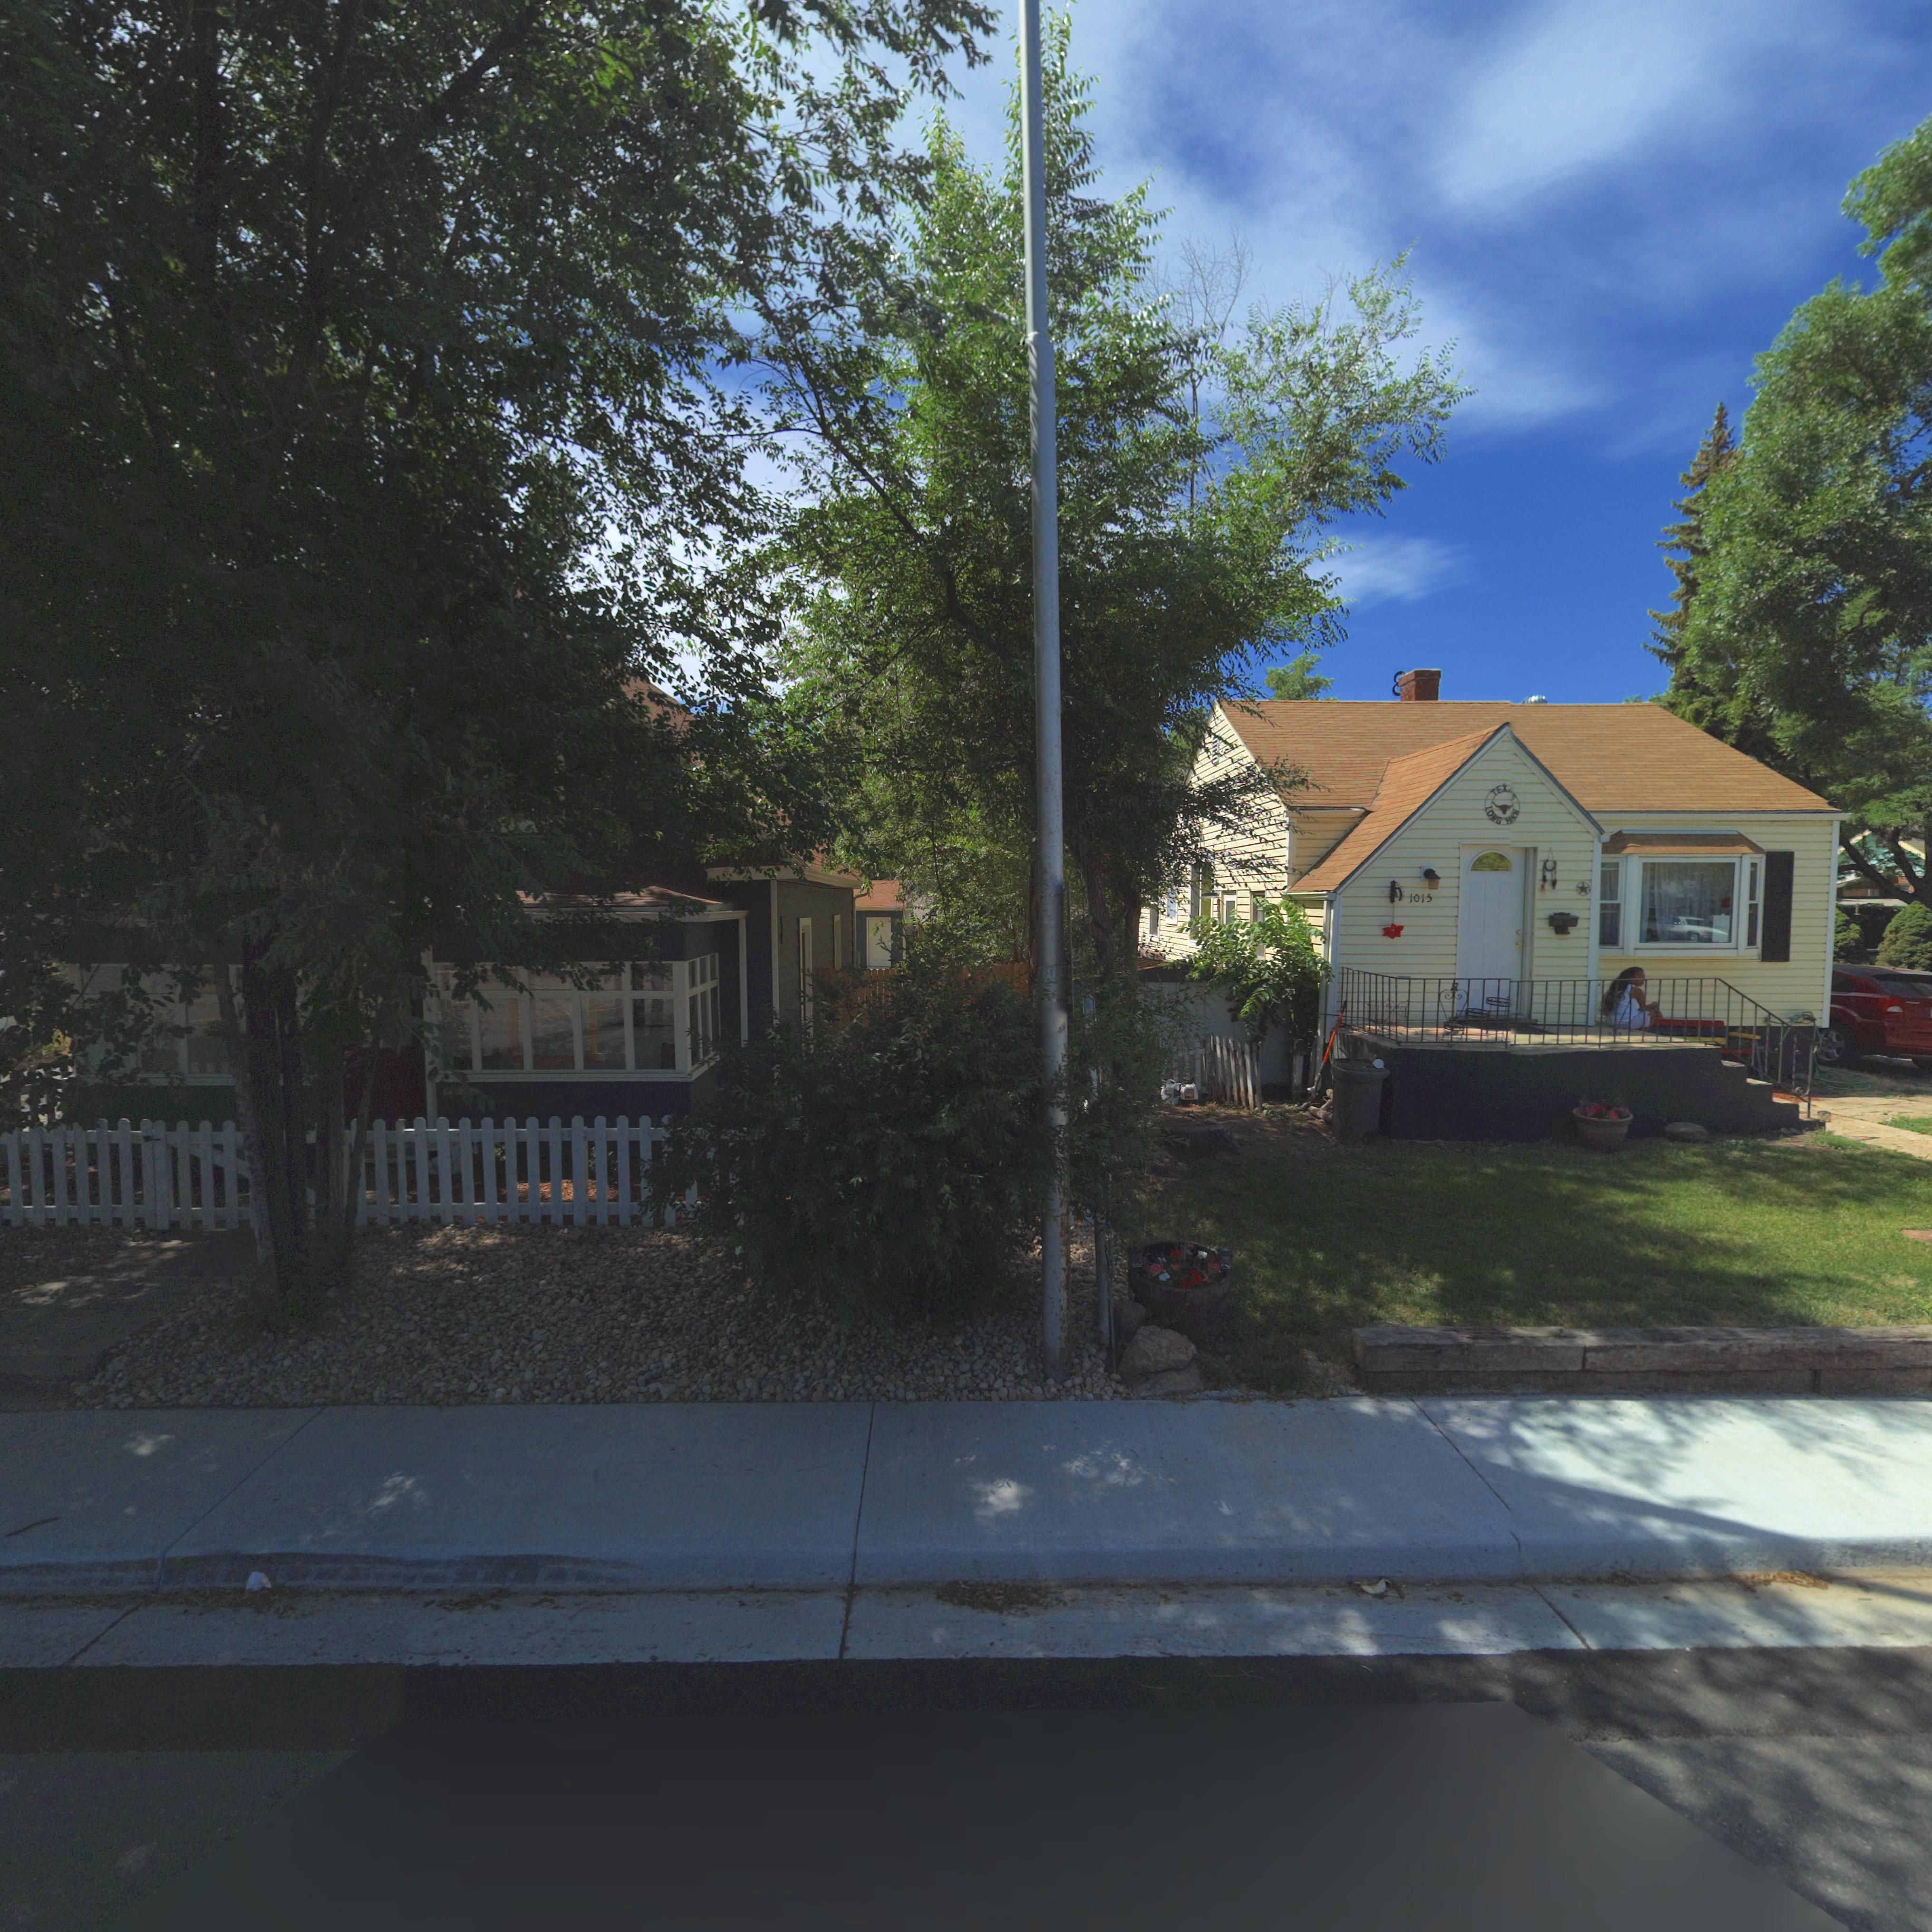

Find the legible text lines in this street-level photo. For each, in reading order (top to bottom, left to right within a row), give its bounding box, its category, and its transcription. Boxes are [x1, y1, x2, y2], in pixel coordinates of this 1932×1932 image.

[1410, 893, 1433, 903] StreetNumber: 1015